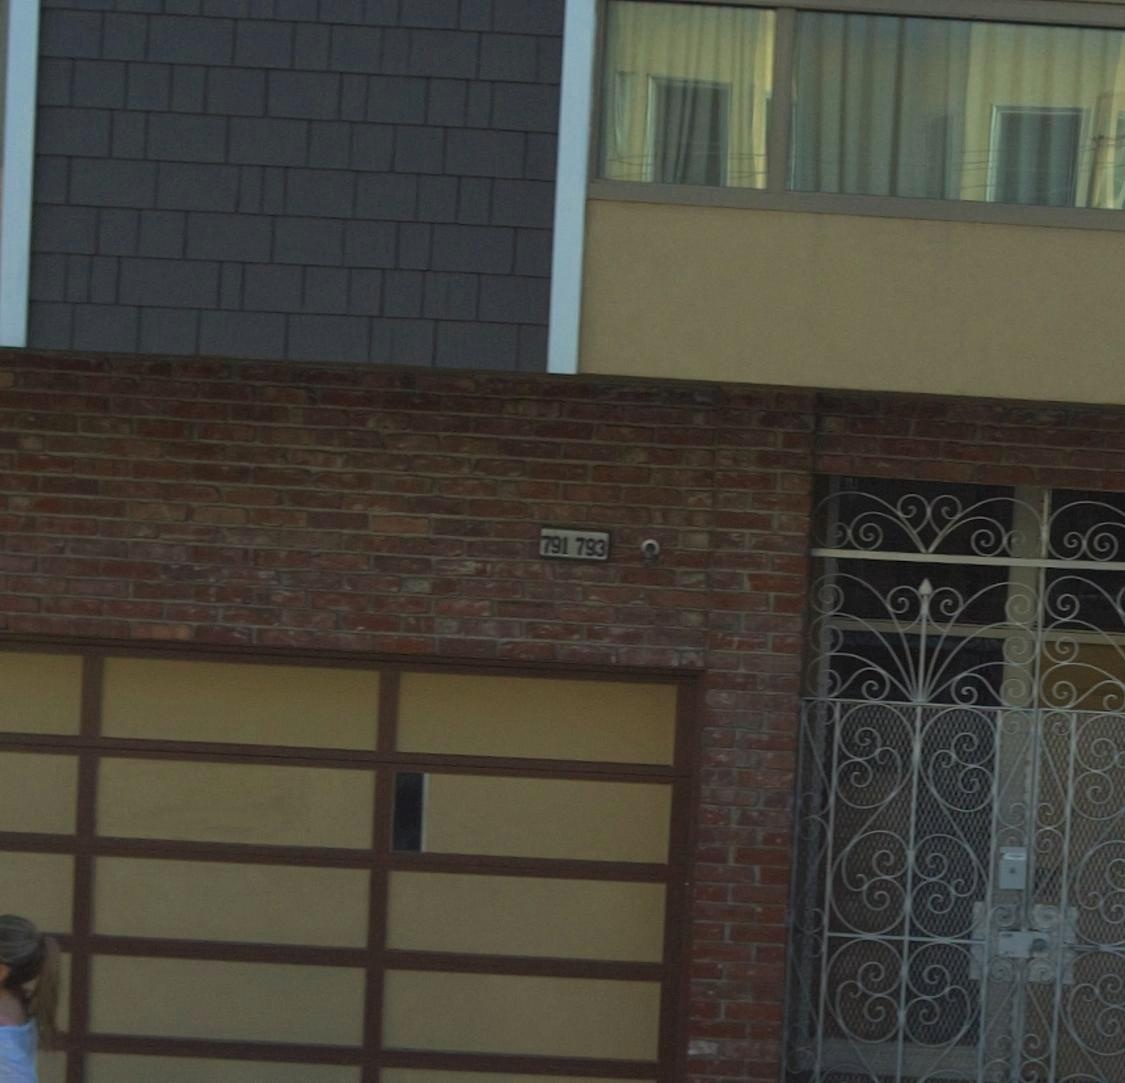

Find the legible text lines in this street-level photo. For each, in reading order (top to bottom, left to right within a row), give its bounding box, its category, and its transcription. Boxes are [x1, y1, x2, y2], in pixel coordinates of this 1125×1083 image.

[538, 533, 571, 556] StreetNumber: 791
[575, 535, 608, 560] StreetNumber: 793